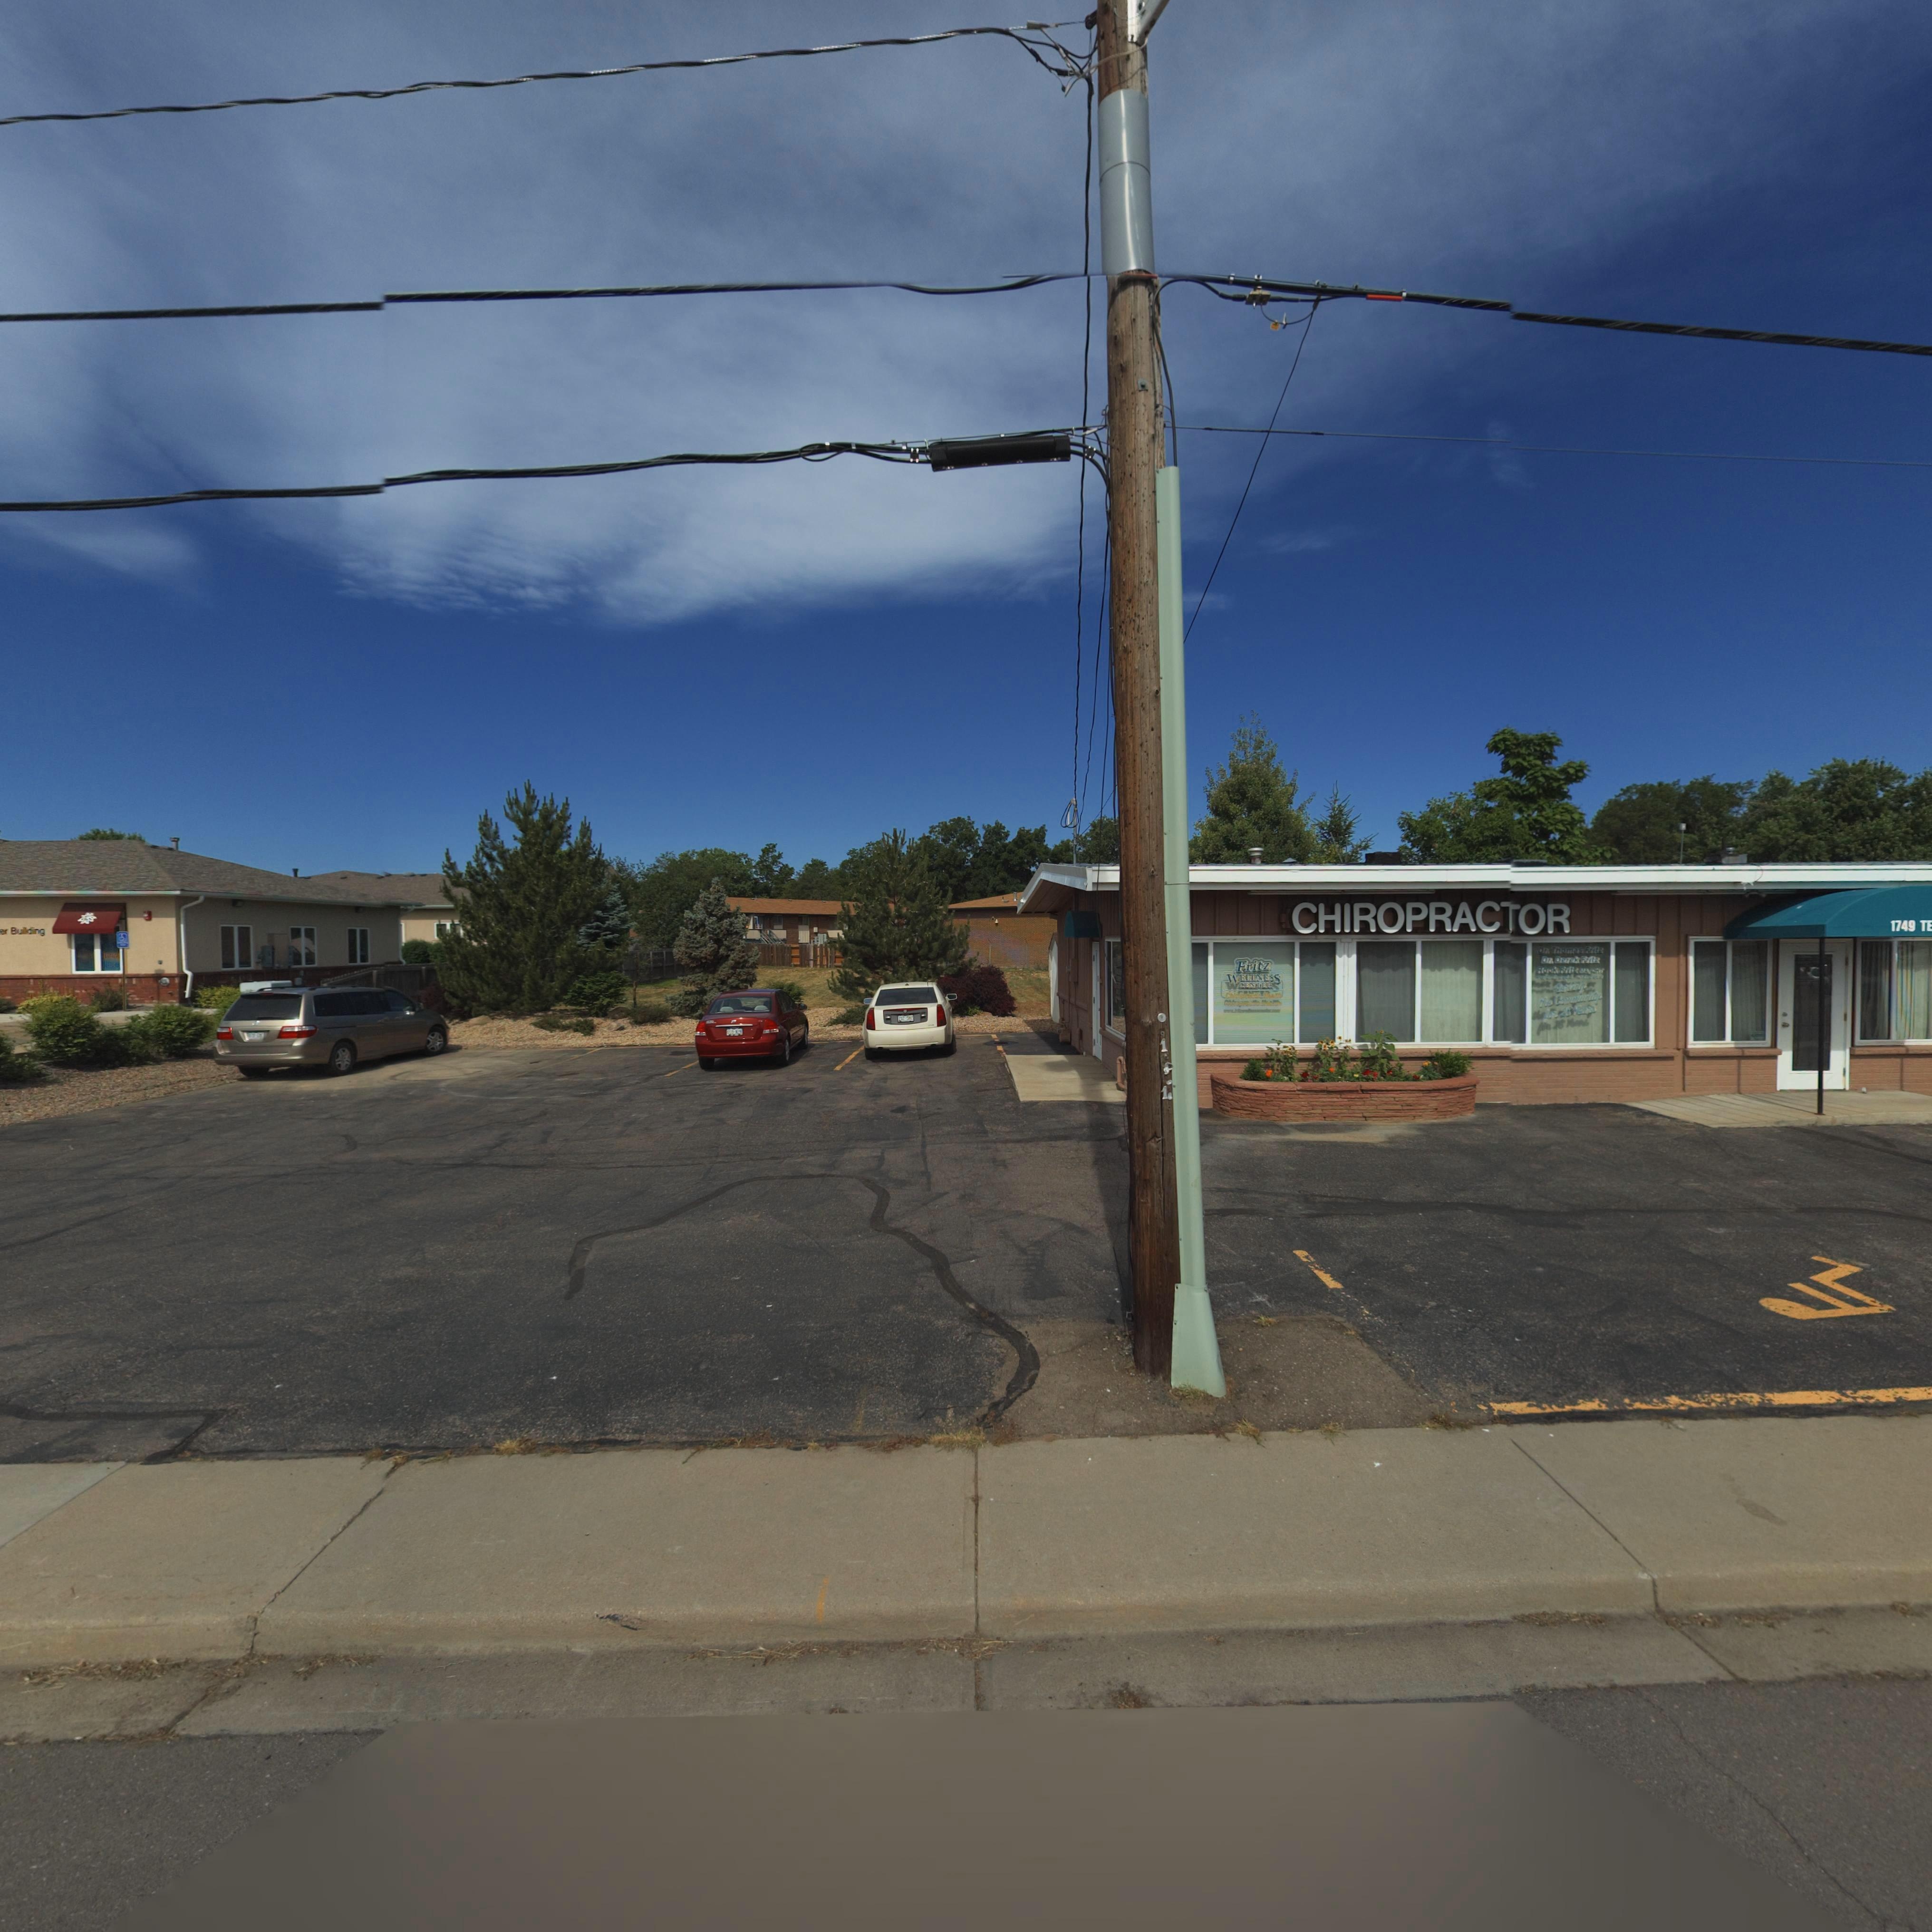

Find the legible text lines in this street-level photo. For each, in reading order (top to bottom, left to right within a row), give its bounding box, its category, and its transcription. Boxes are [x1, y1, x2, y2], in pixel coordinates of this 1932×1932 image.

[1889, 919, 1916, 932] StreetNumber: 1749
[1918, 919, 1927, 932] StreetName: T
[1235, 958, 1271, 974] BusinessName: Fritz
[1225, 973, 1282, 986] BusinessName: WELLNESS
[1237, 982, 1273, 989] BusinessName: CENTER